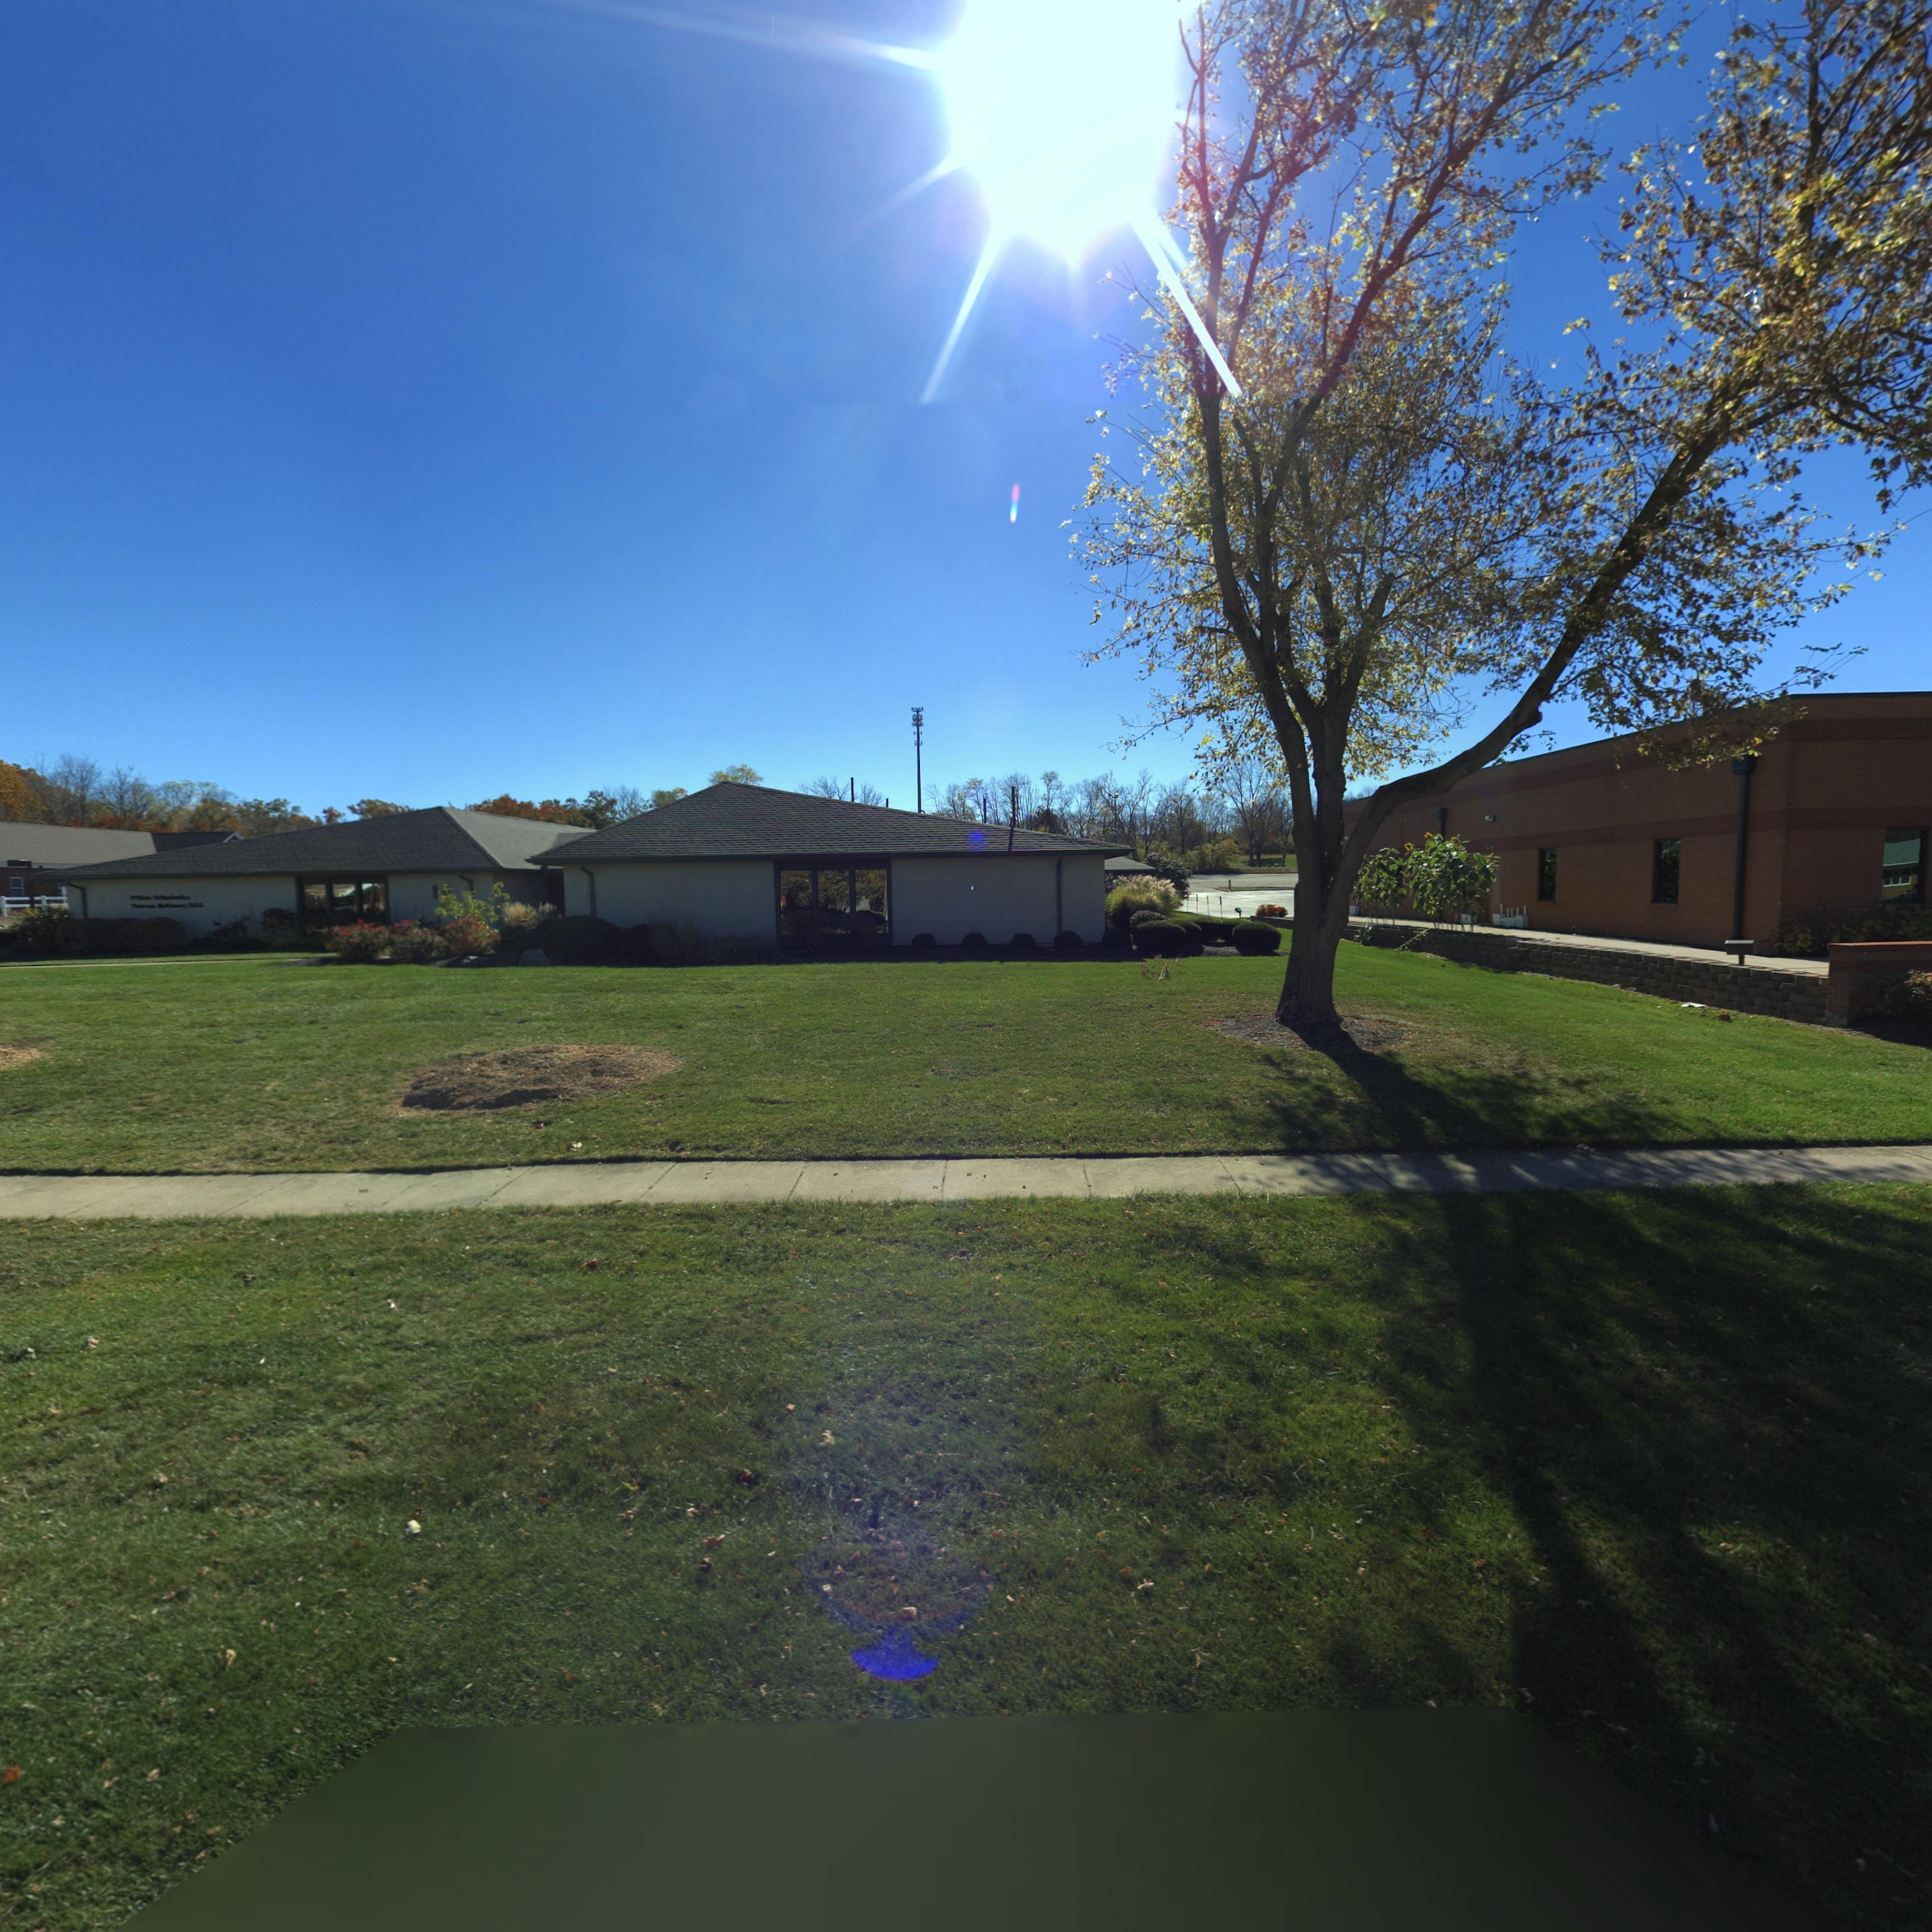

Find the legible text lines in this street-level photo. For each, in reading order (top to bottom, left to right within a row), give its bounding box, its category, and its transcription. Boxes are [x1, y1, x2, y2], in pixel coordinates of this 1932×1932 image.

[431, 883, 440, 899] StreetNumber: 1